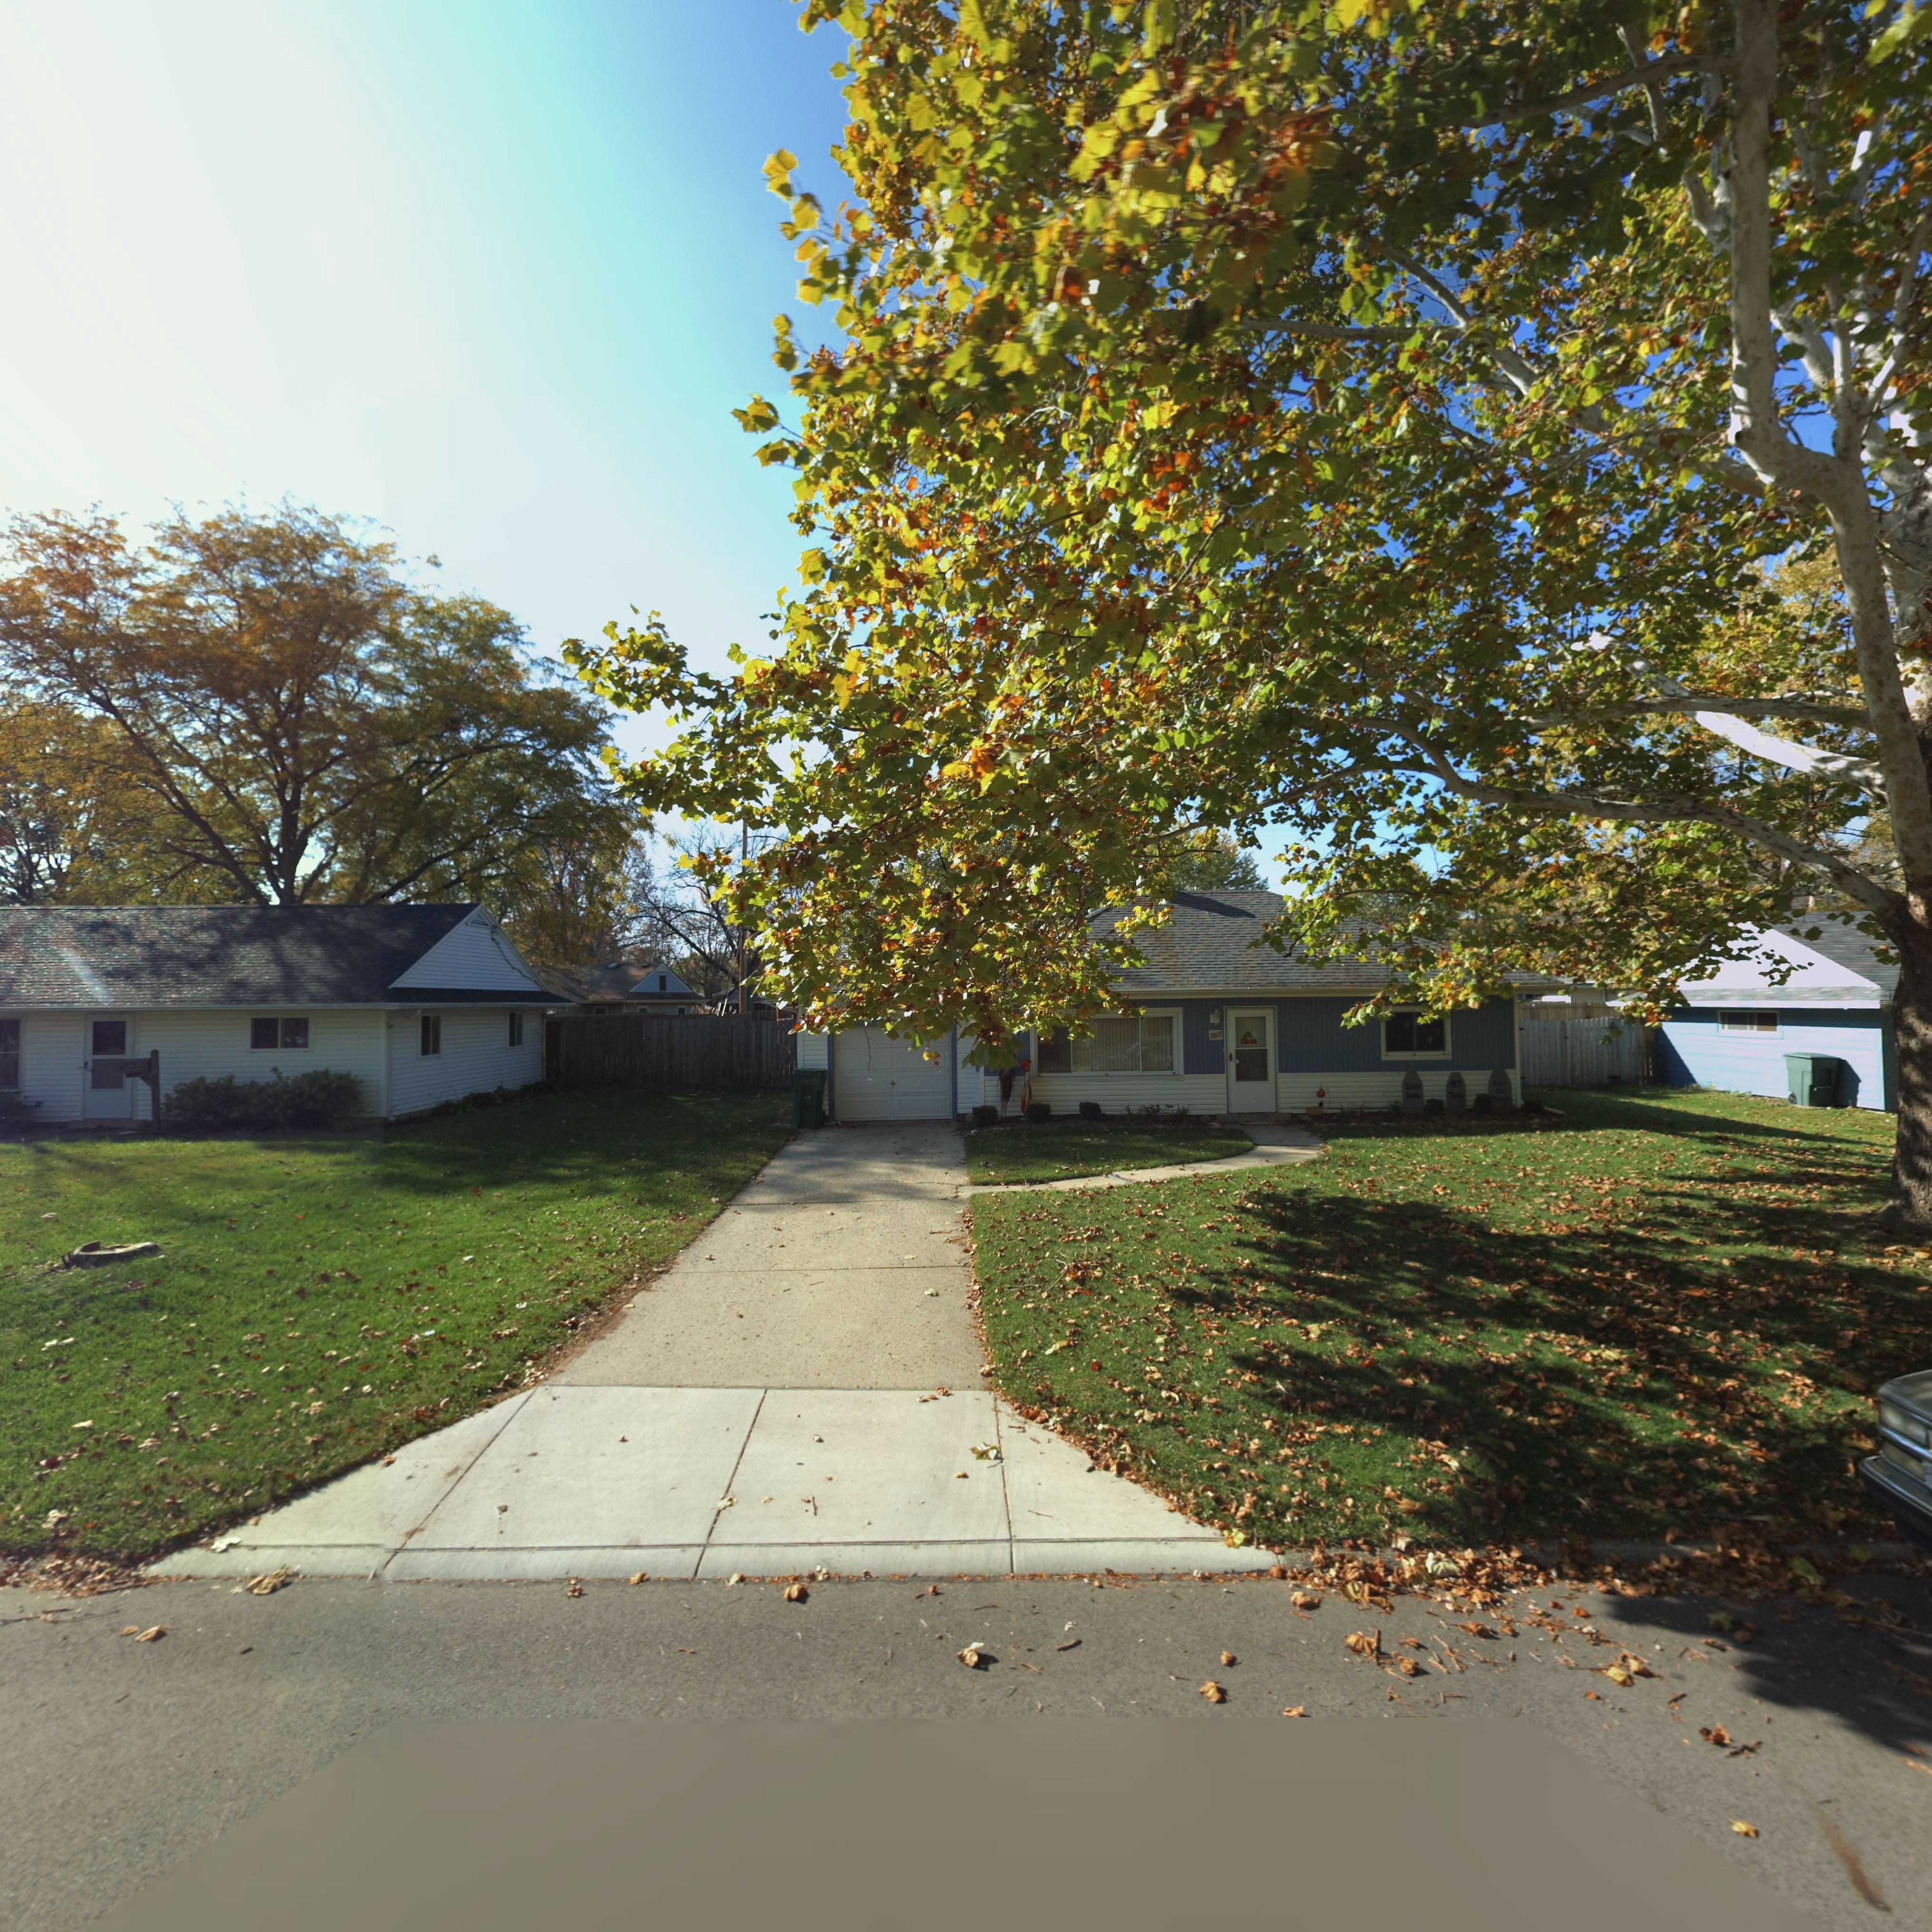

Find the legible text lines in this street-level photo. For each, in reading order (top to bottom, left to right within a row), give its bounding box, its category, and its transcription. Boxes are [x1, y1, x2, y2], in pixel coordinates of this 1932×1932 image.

[1209, 1030, 1222, 1040] StreetNumber: 3809
[1405, 1082, 1420, 1091] None: Izzy
[1450, 1080, 1462, 1088] None: M.T.
[1492, 1080, 1507, 1087] None: Rest
[1496, 1087, 1506, 1094] None: In
[1405, 1092, 1420, 1099] None: DEAD
[1448, 1091, 1464, 1099] None: Tomb
[1491, 1095, 1510, 1103] None: Pieces